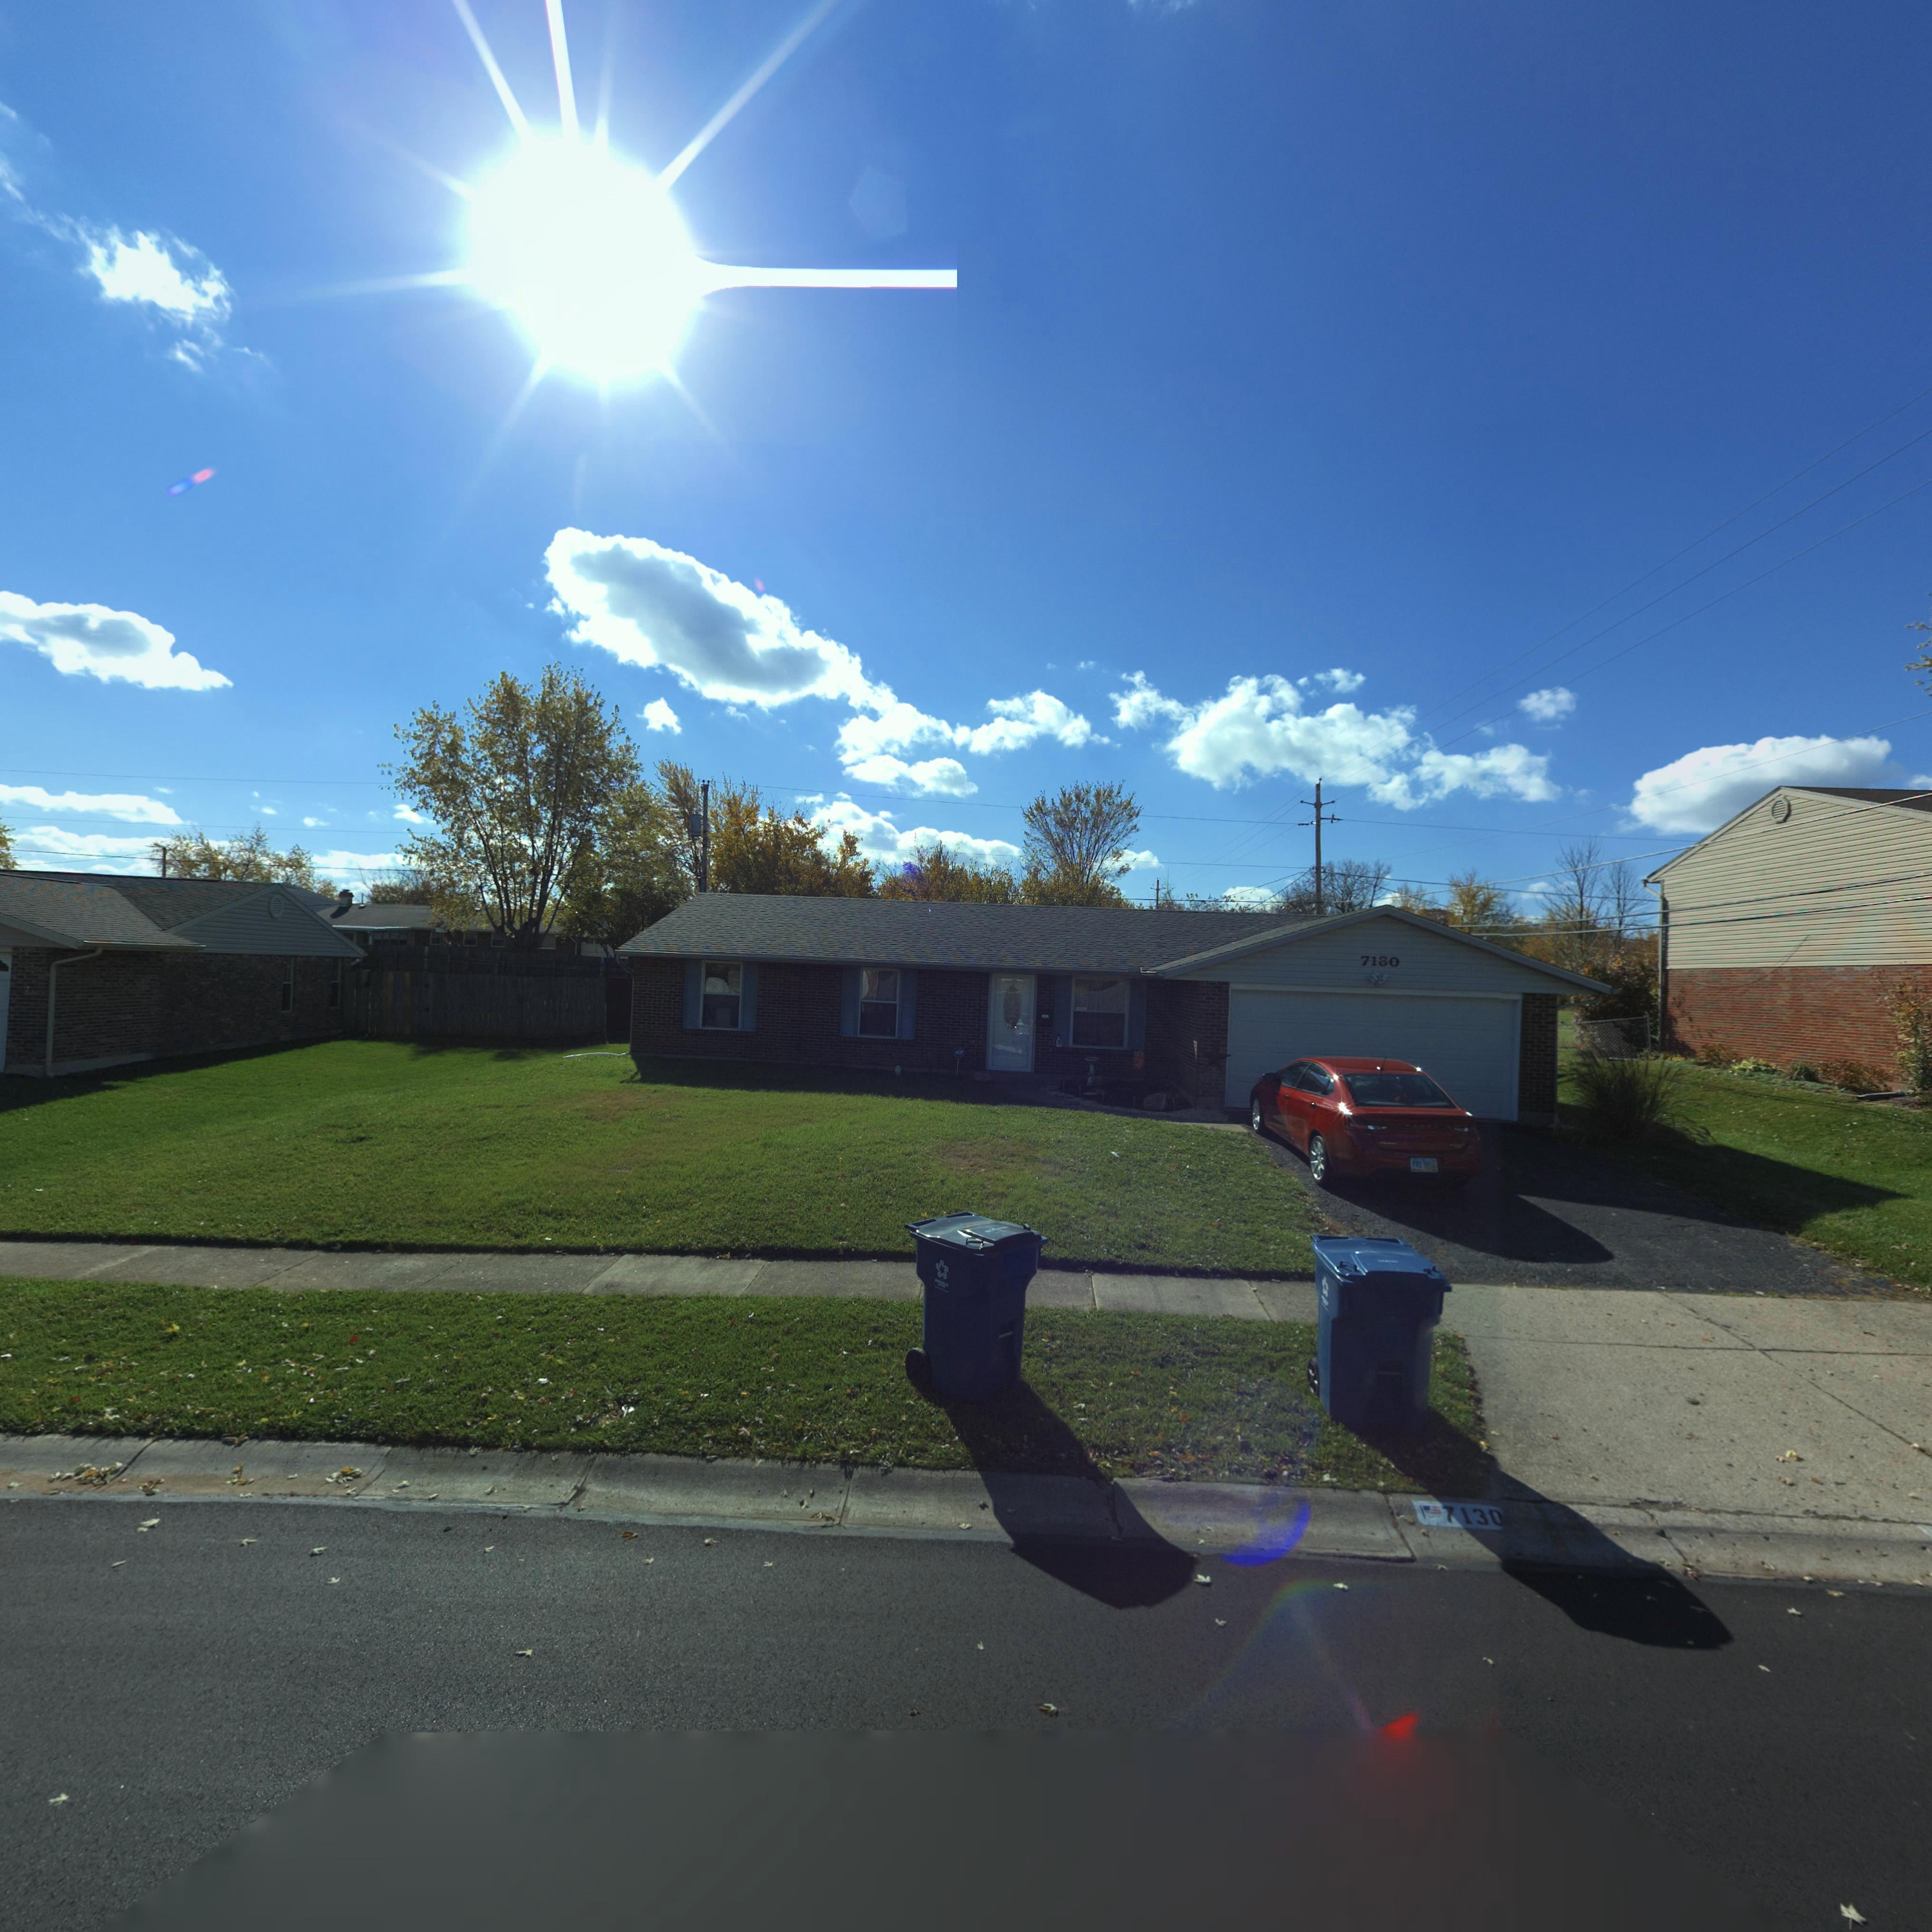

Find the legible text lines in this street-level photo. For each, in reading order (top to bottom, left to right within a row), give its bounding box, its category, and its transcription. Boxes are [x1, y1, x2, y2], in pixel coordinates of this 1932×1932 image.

[1360, 955, 1401, 968] StreetNumber: 7130
[1439, 1504, 1506, 1527] StreetNumber: 713*